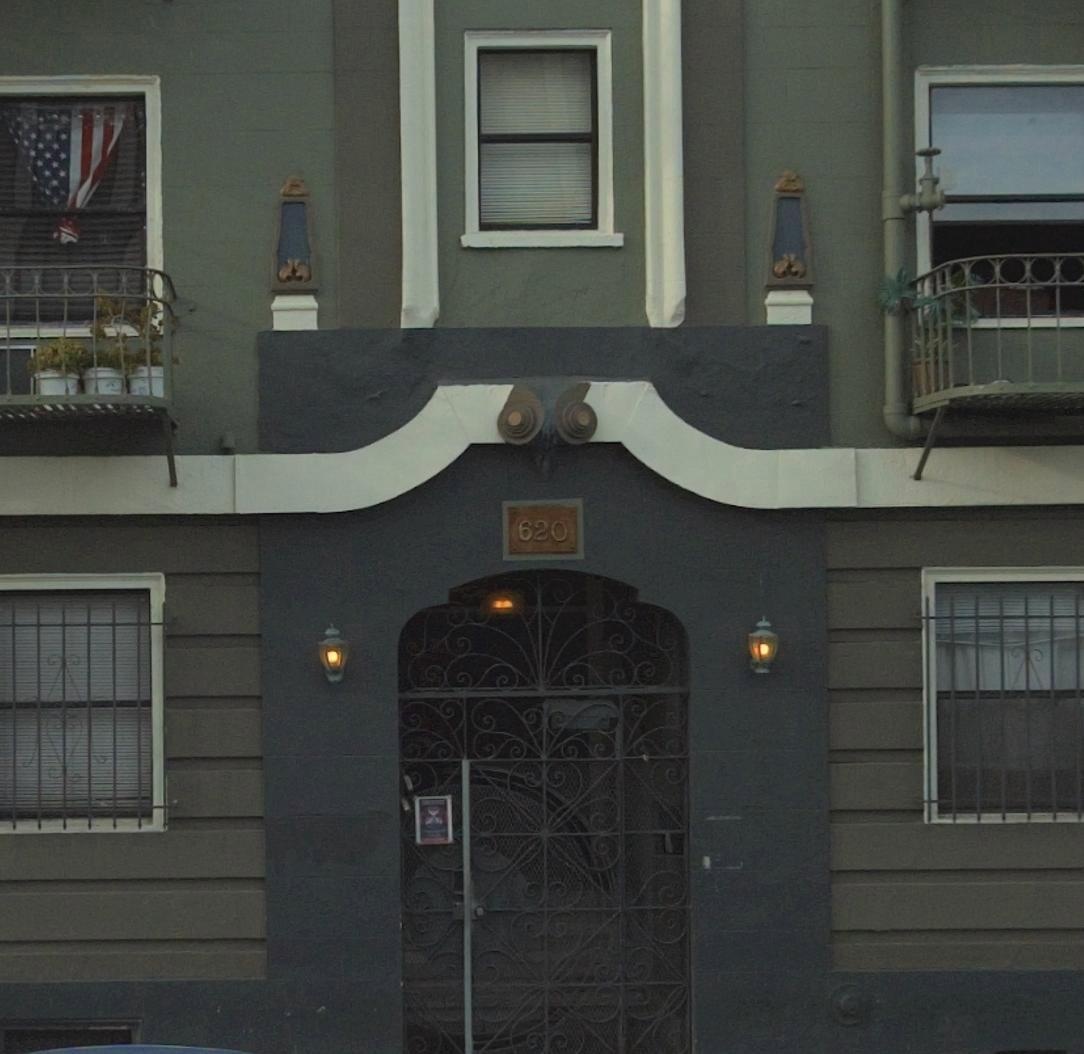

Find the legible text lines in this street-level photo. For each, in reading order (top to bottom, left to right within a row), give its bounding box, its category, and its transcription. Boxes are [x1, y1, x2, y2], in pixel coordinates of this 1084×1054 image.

[516, 519, 569, 543] StreetNumber: 620